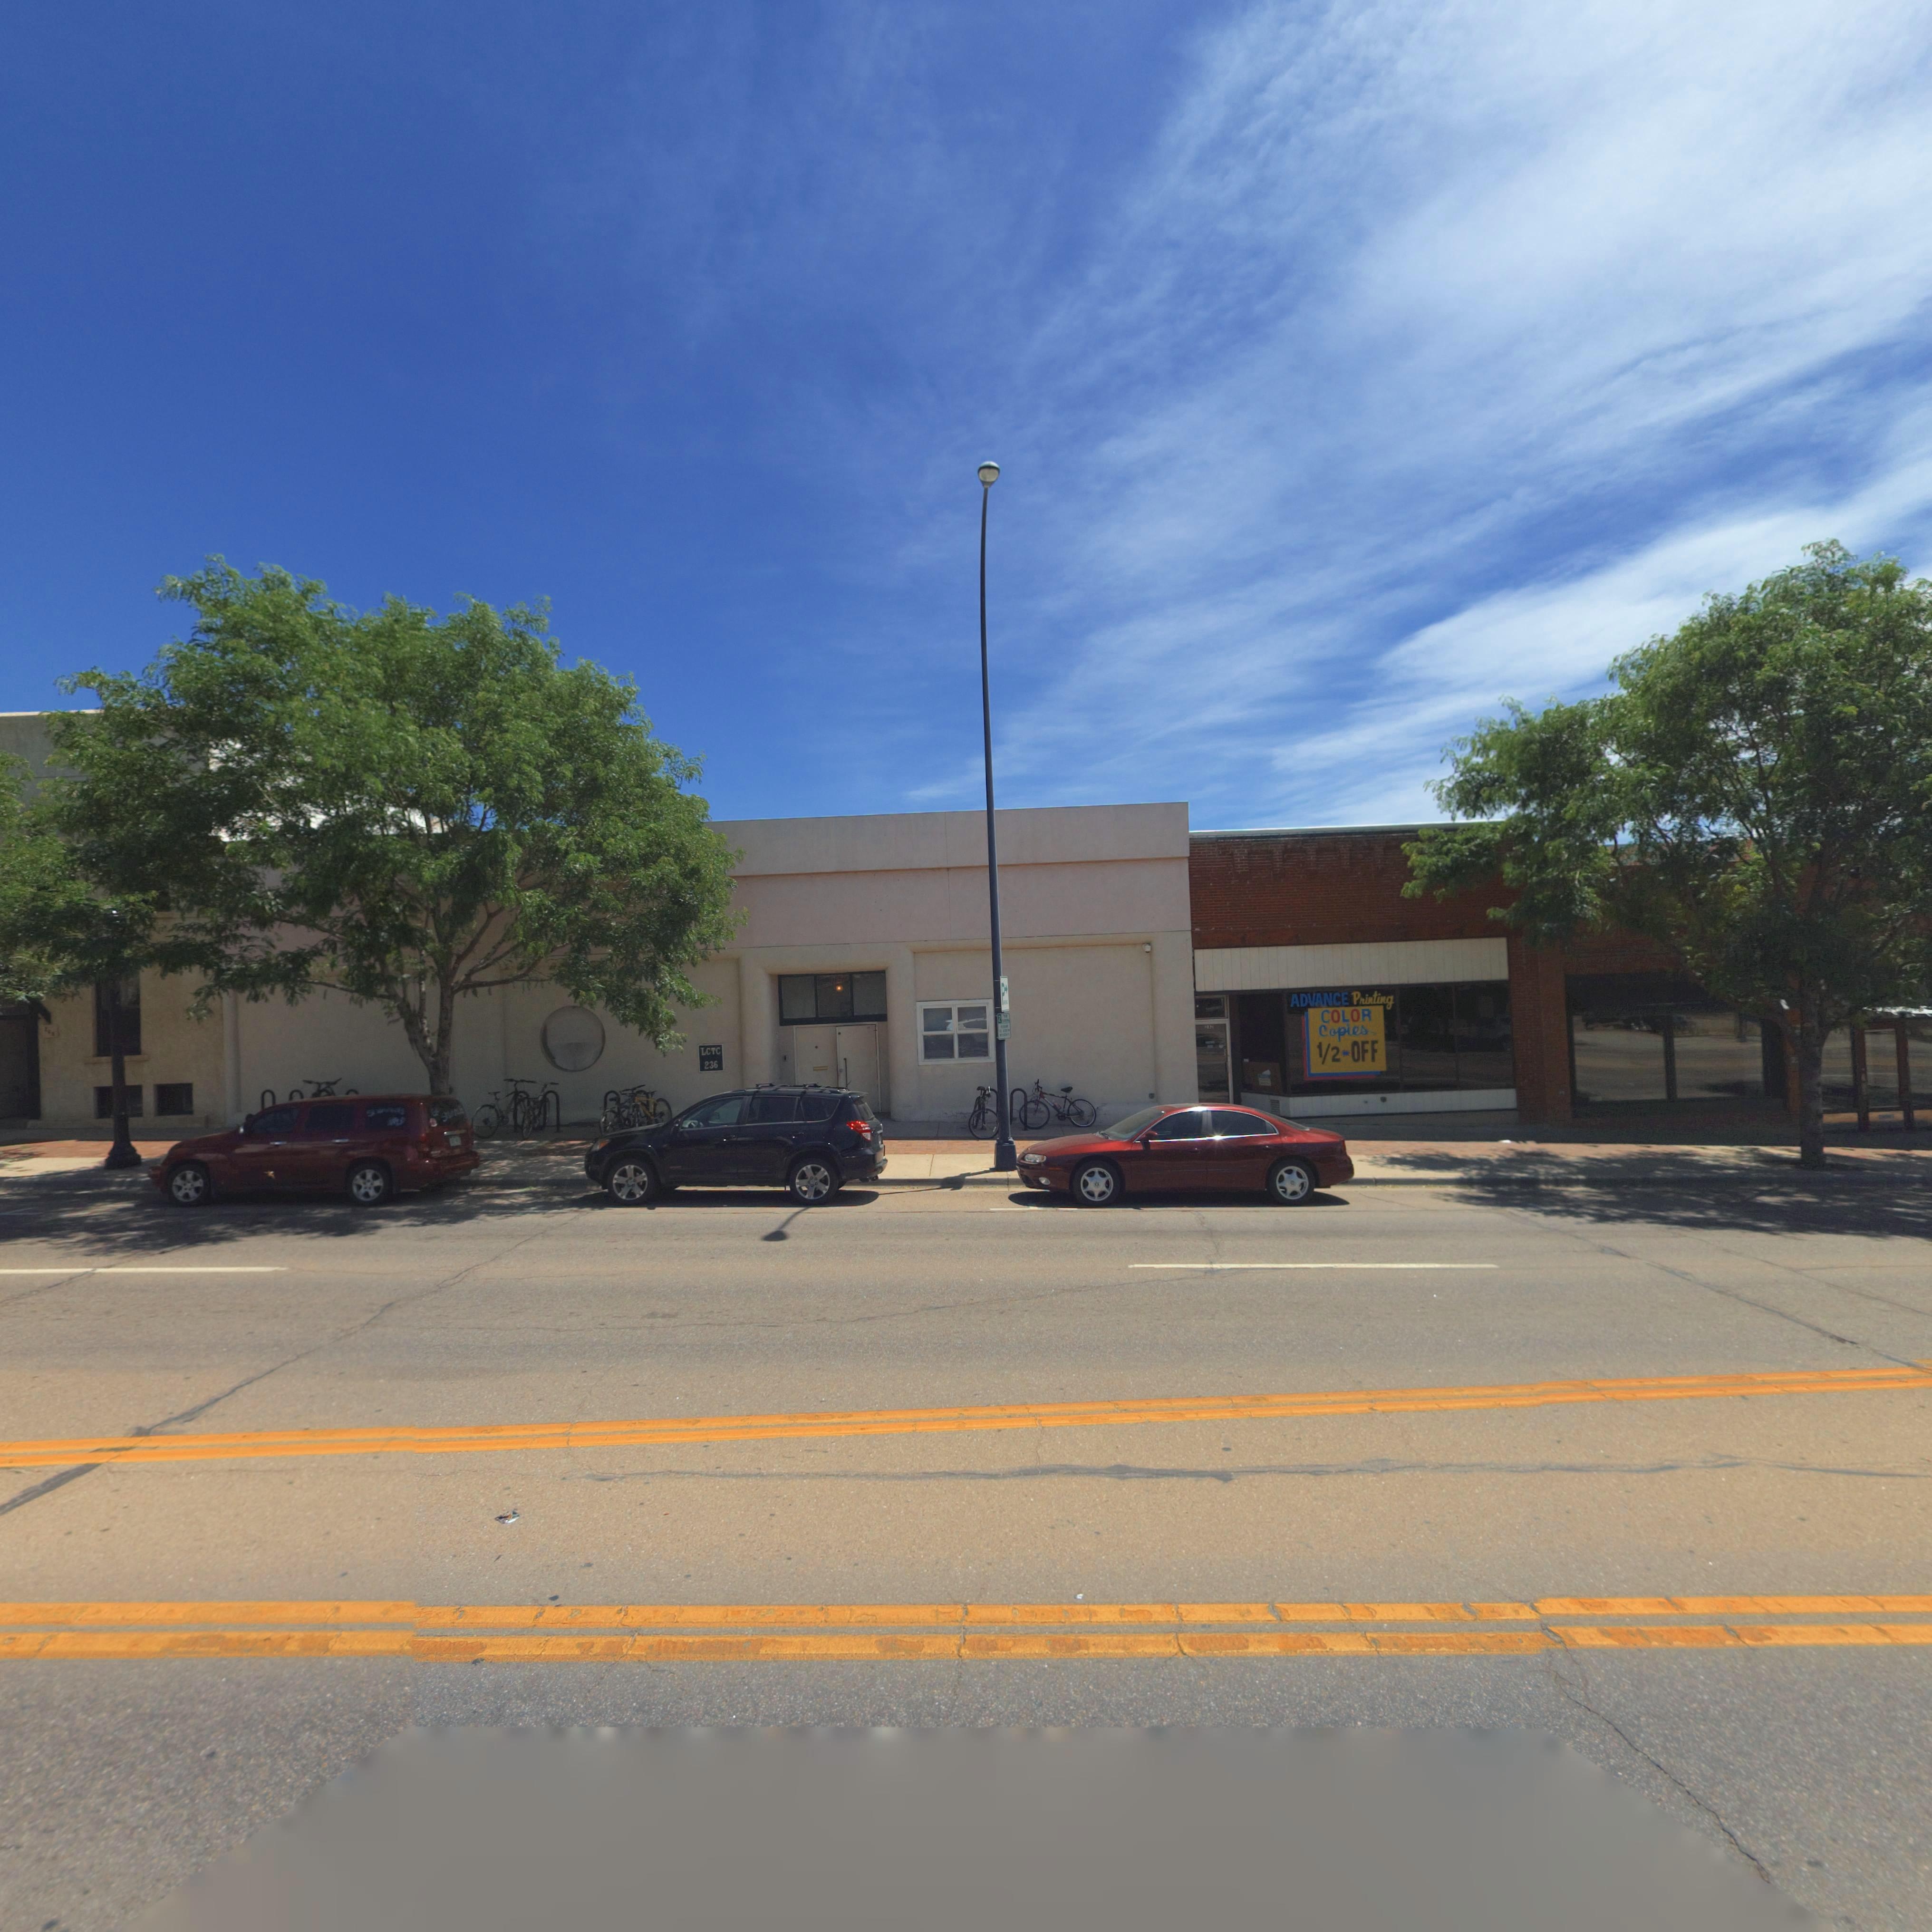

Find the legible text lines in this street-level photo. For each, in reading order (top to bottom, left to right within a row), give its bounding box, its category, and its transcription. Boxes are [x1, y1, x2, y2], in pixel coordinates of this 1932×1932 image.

[1289, 990, 1395, 1011] BusinessName: ADVANCE Printing
[44, 1026, 55, 1037] StreetNumber: 240
[701, 1047, 721, 1055] BusinessName: LCTC
[704, 1060, 718, 1069] StreetNumber: 236